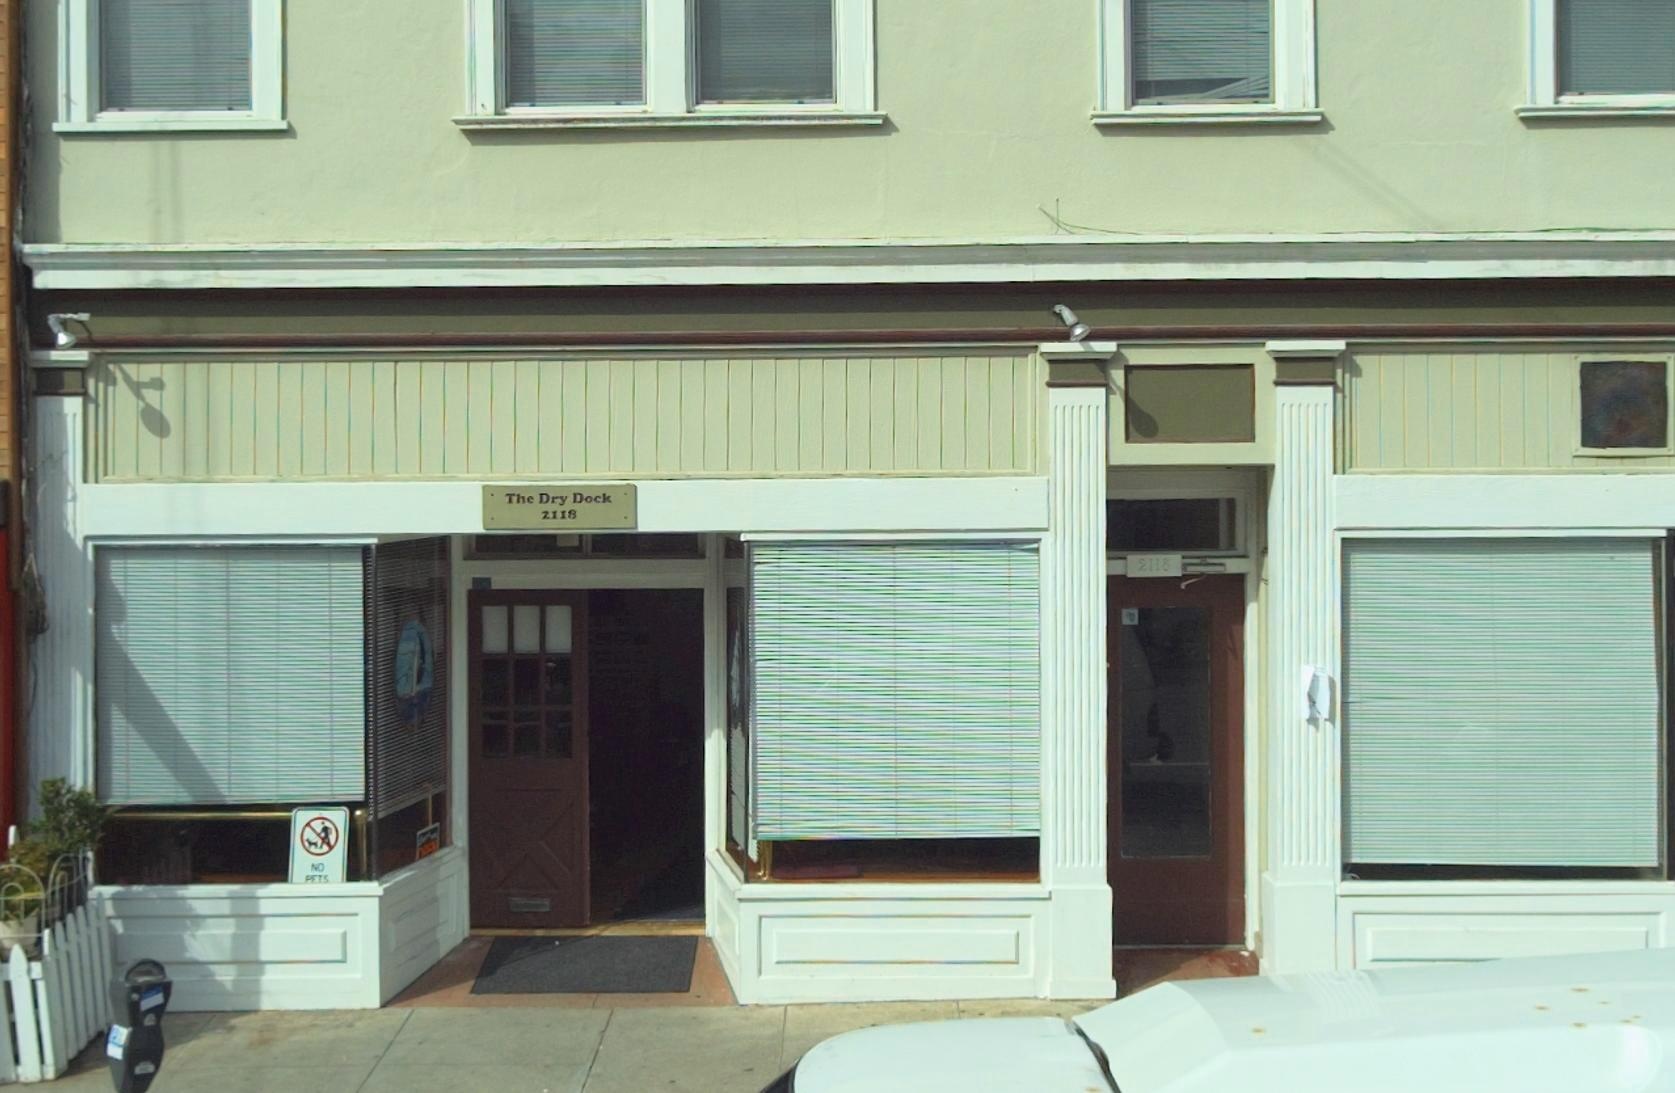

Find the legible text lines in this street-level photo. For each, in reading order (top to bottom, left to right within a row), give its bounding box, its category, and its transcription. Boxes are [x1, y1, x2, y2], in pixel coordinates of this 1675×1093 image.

[503, 490, 617, 508] BusinessName: The Dry Dock
[538, 506, 580, 523] StreetNumber: 2118
[1134, 555, 1173, 574] StreetNumber: 2118
[309, 860, 327, 875] None: NO